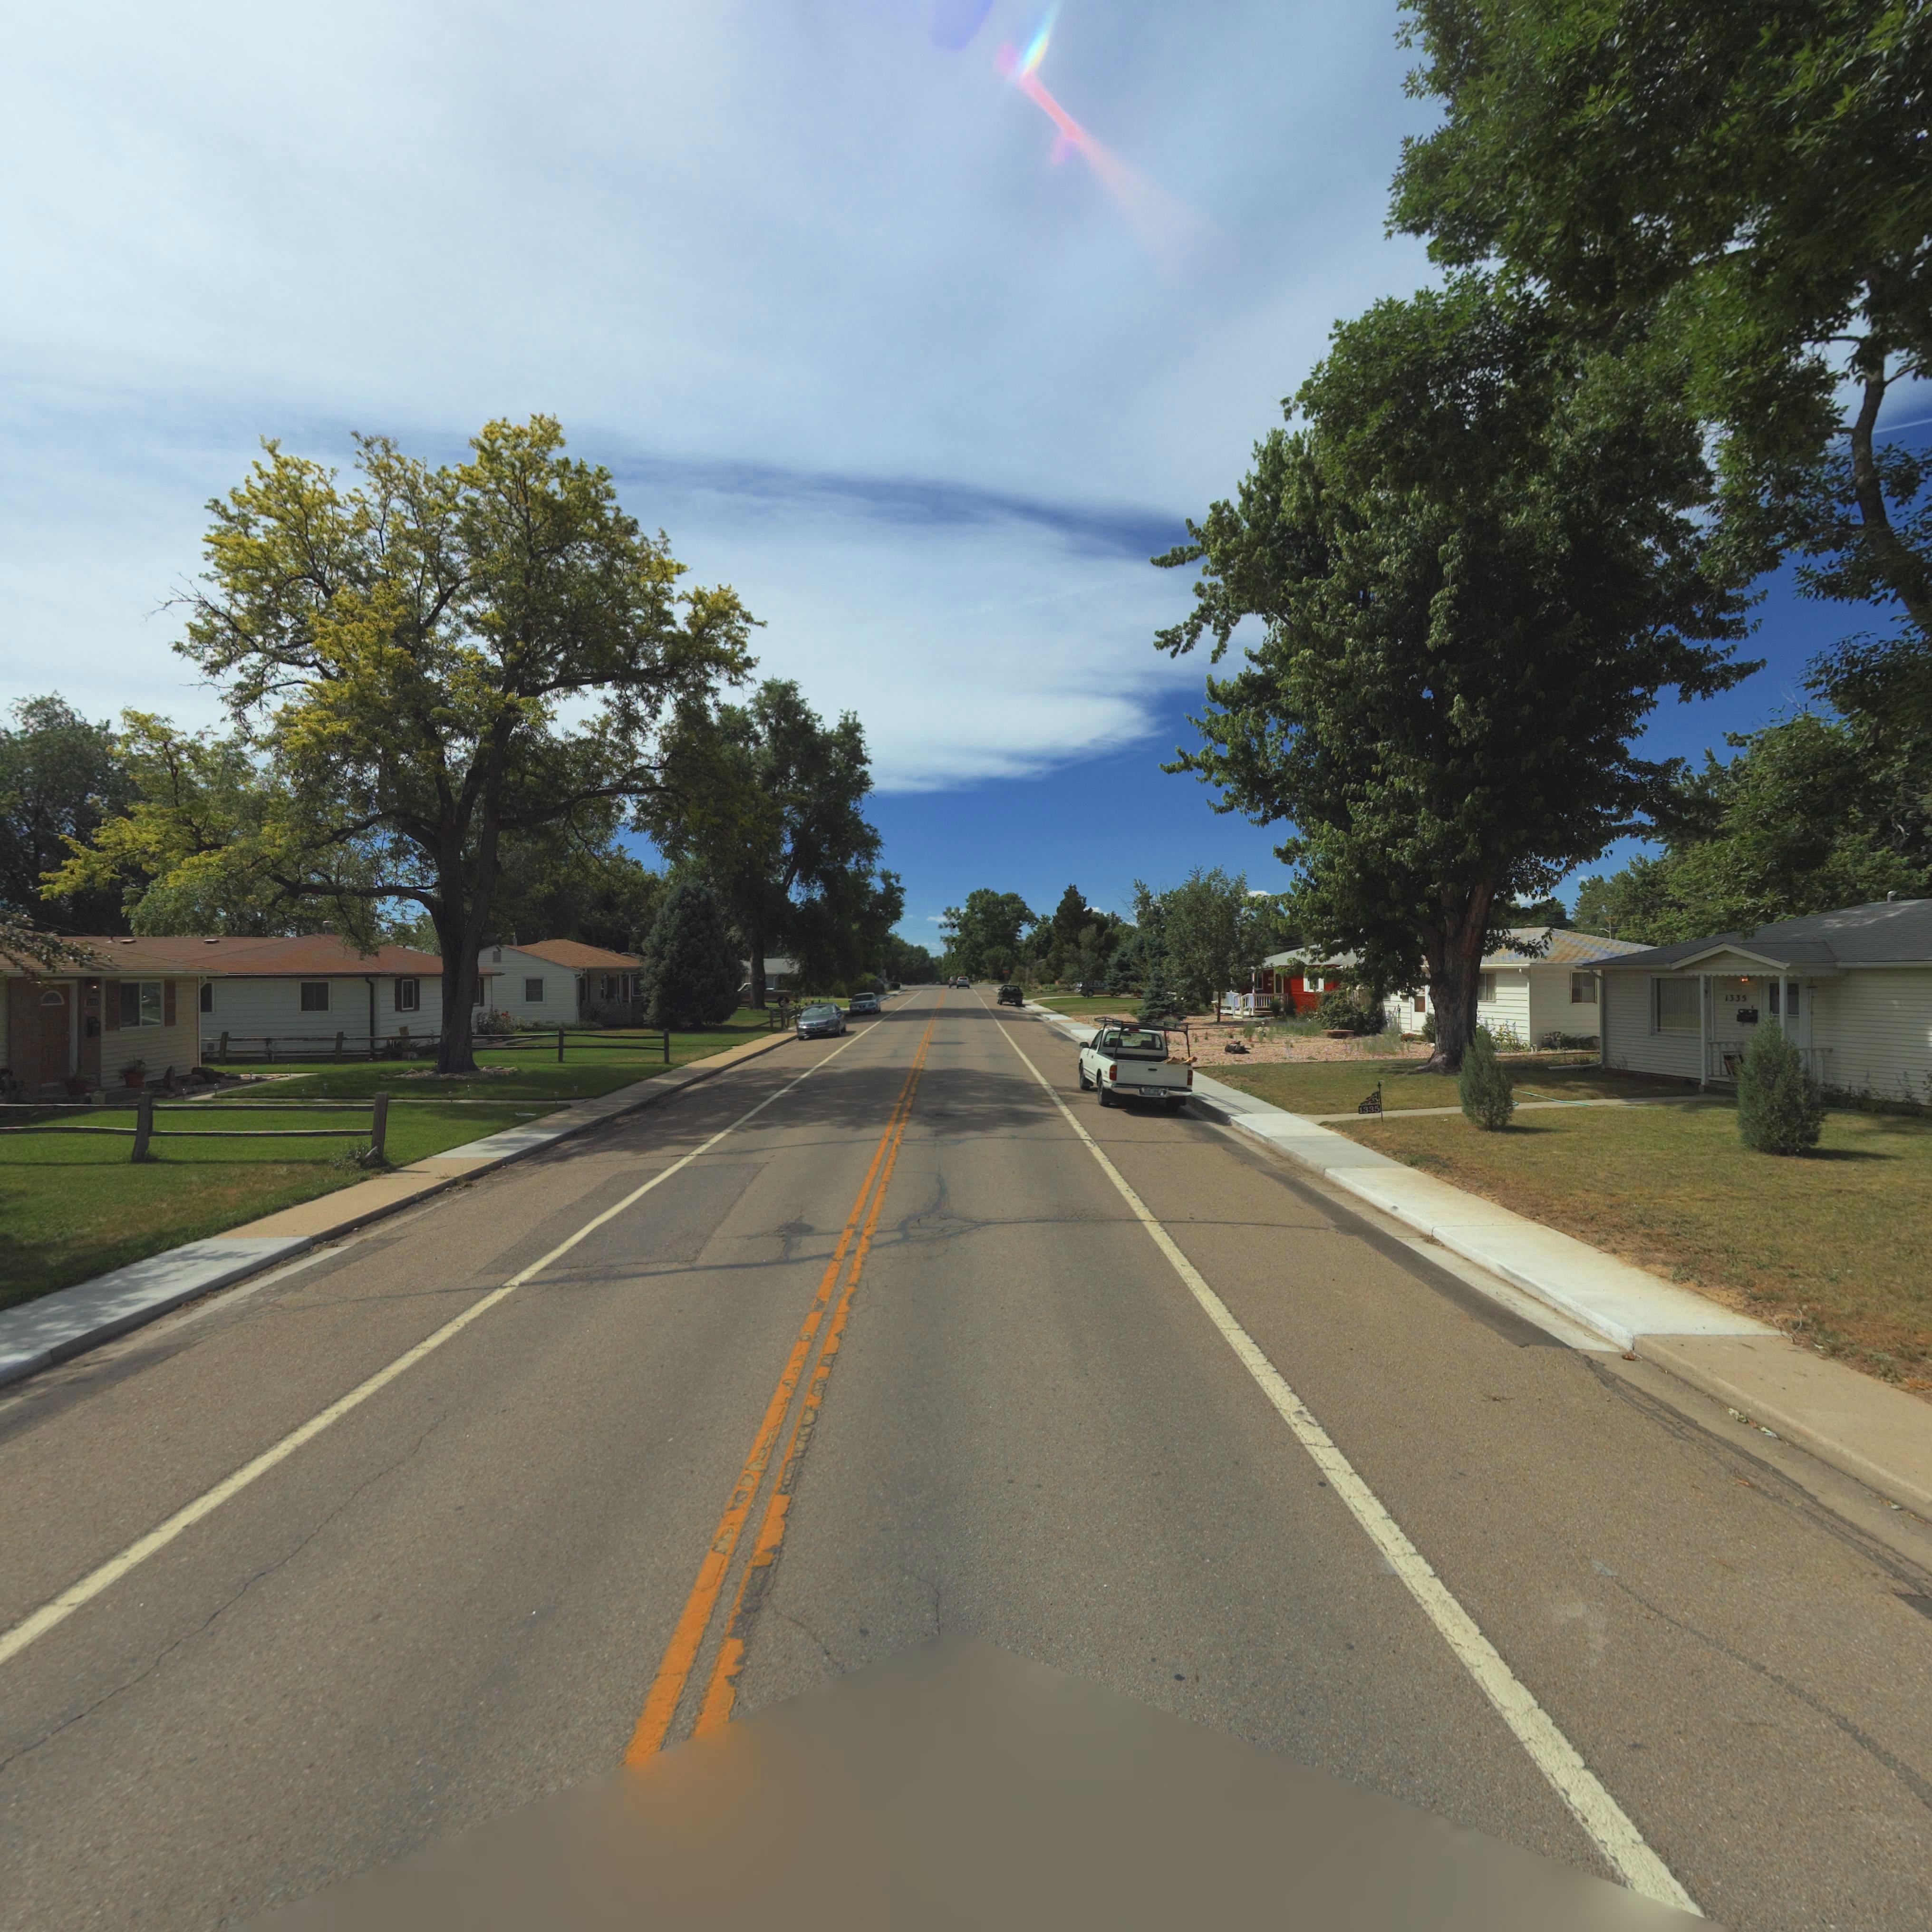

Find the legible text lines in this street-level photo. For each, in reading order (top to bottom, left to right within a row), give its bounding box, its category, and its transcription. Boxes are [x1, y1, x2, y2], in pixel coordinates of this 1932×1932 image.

[1725, 994, 1746, 1002] StreetNumber: 1335
[1359, 1105, 1380, 1113] StreetNumber: 1335